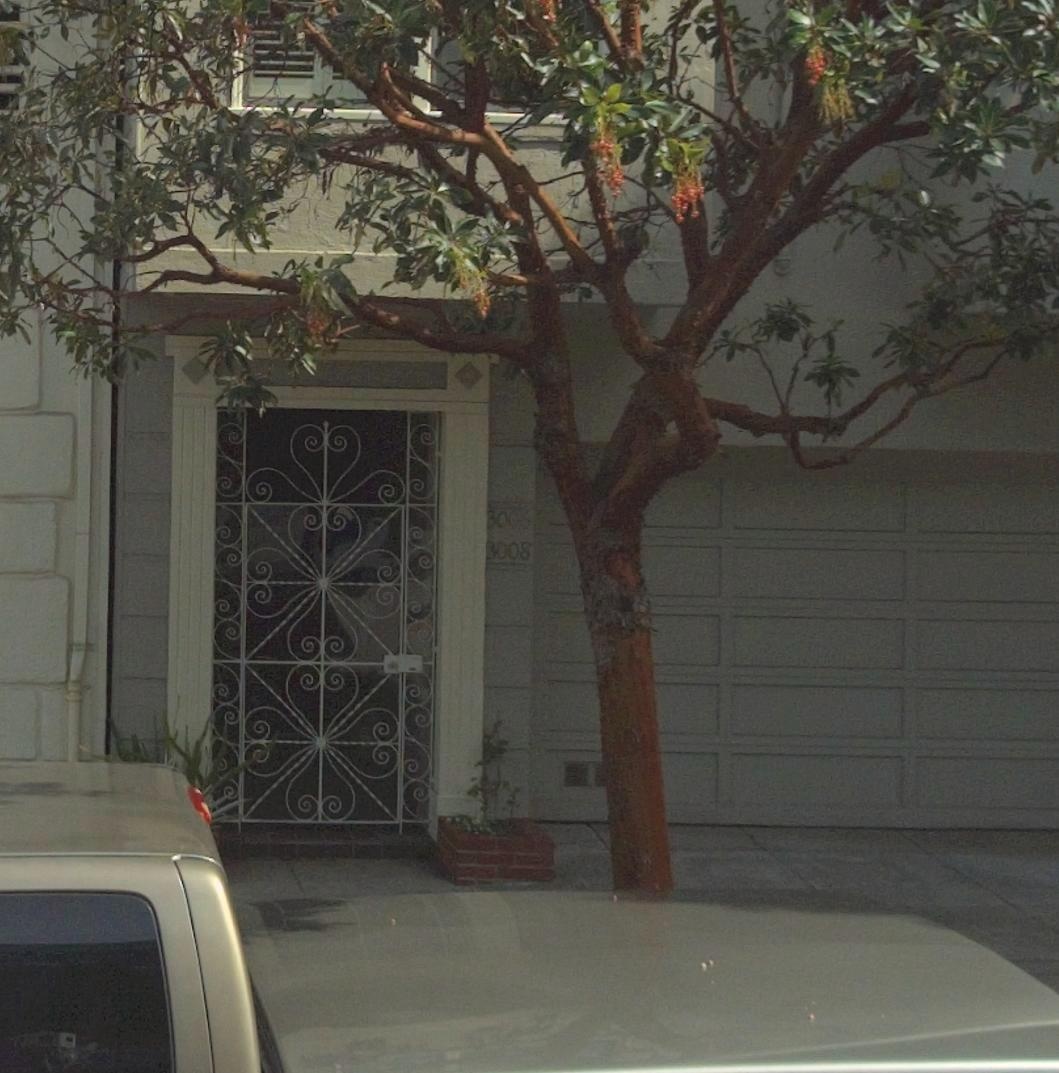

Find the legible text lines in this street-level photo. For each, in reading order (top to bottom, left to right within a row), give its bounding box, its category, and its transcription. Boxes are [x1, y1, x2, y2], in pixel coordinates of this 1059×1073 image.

[486, 507, 533, 532] StreetNumber: 3006
[485, 539, 532, 560] StreetNumber: 3008